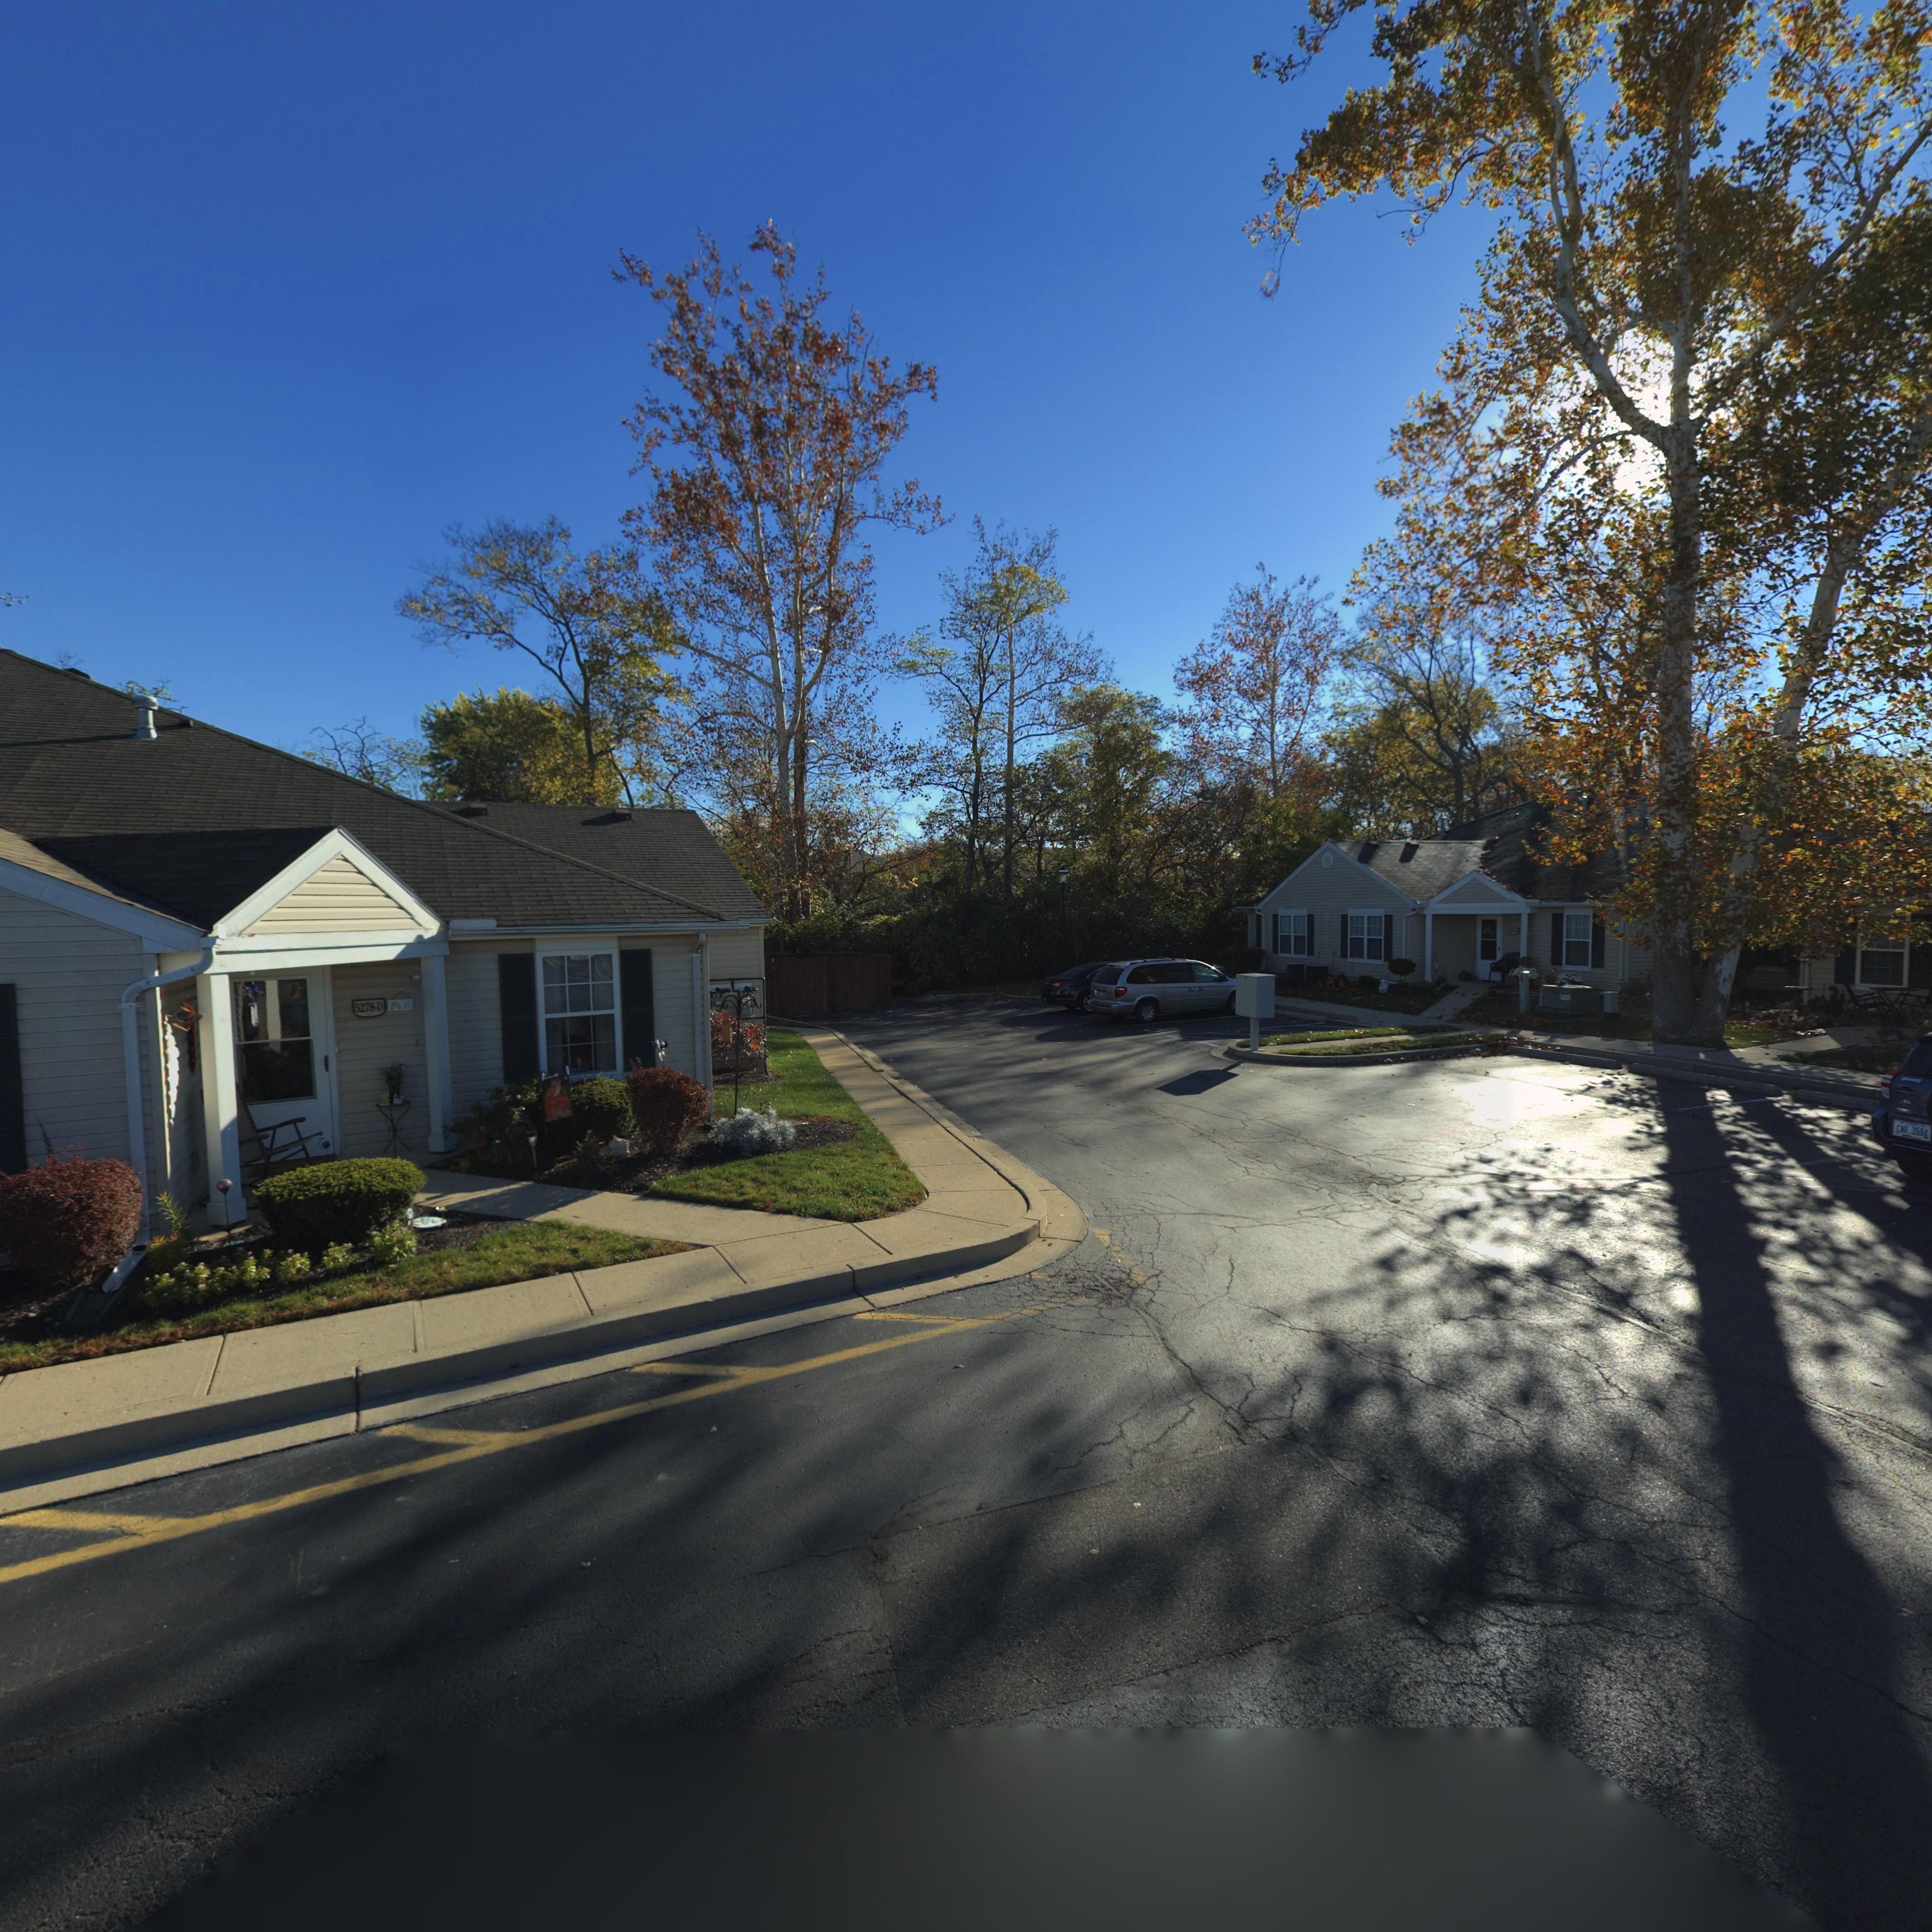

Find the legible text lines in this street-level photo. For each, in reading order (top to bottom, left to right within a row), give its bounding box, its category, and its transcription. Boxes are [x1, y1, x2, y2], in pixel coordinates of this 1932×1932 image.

[354, 1001, 383, 1013] StreetNumber: 5278-D